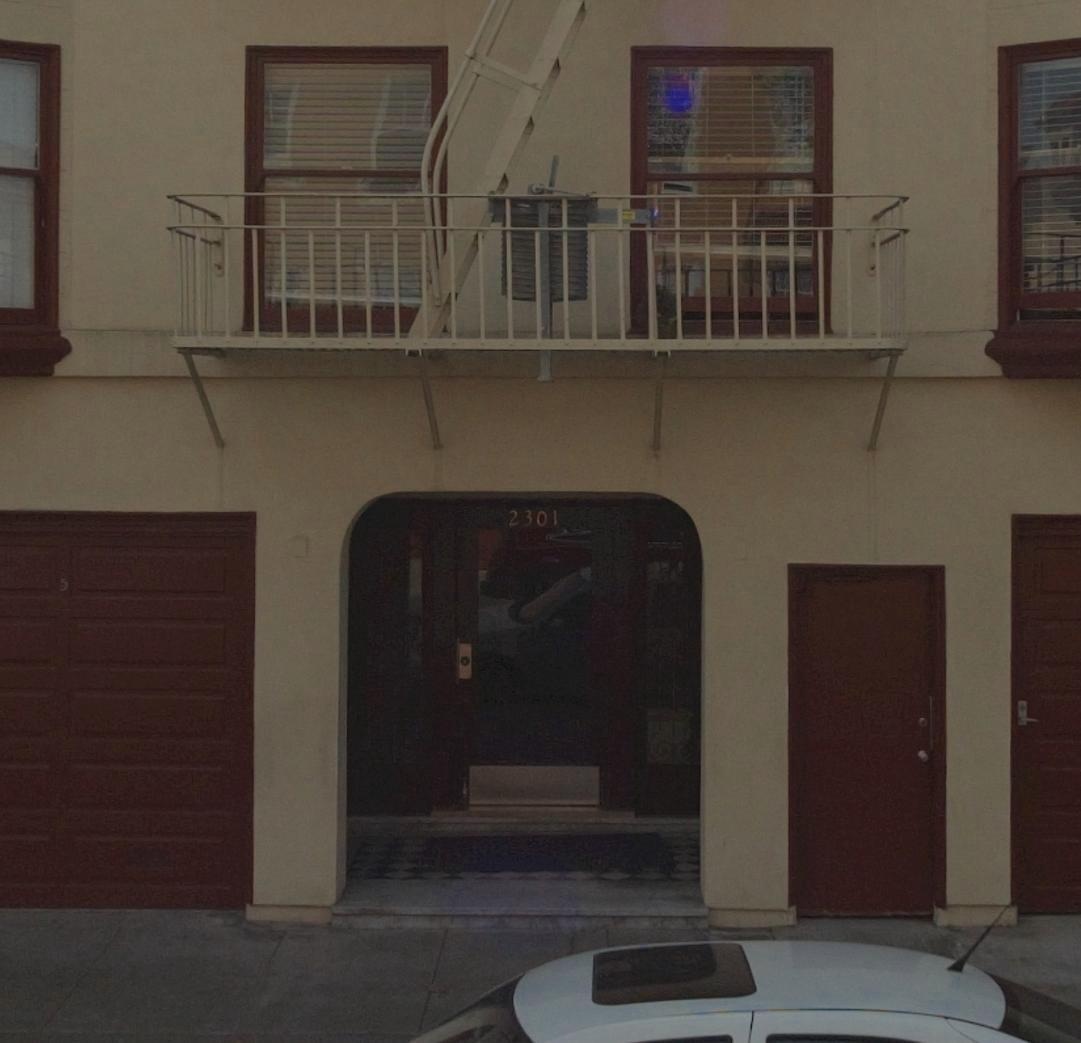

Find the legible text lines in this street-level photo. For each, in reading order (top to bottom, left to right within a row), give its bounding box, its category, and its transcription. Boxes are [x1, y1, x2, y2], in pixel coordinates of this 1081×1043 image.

[506, 507, 560, 529] StreetNumber: 2301